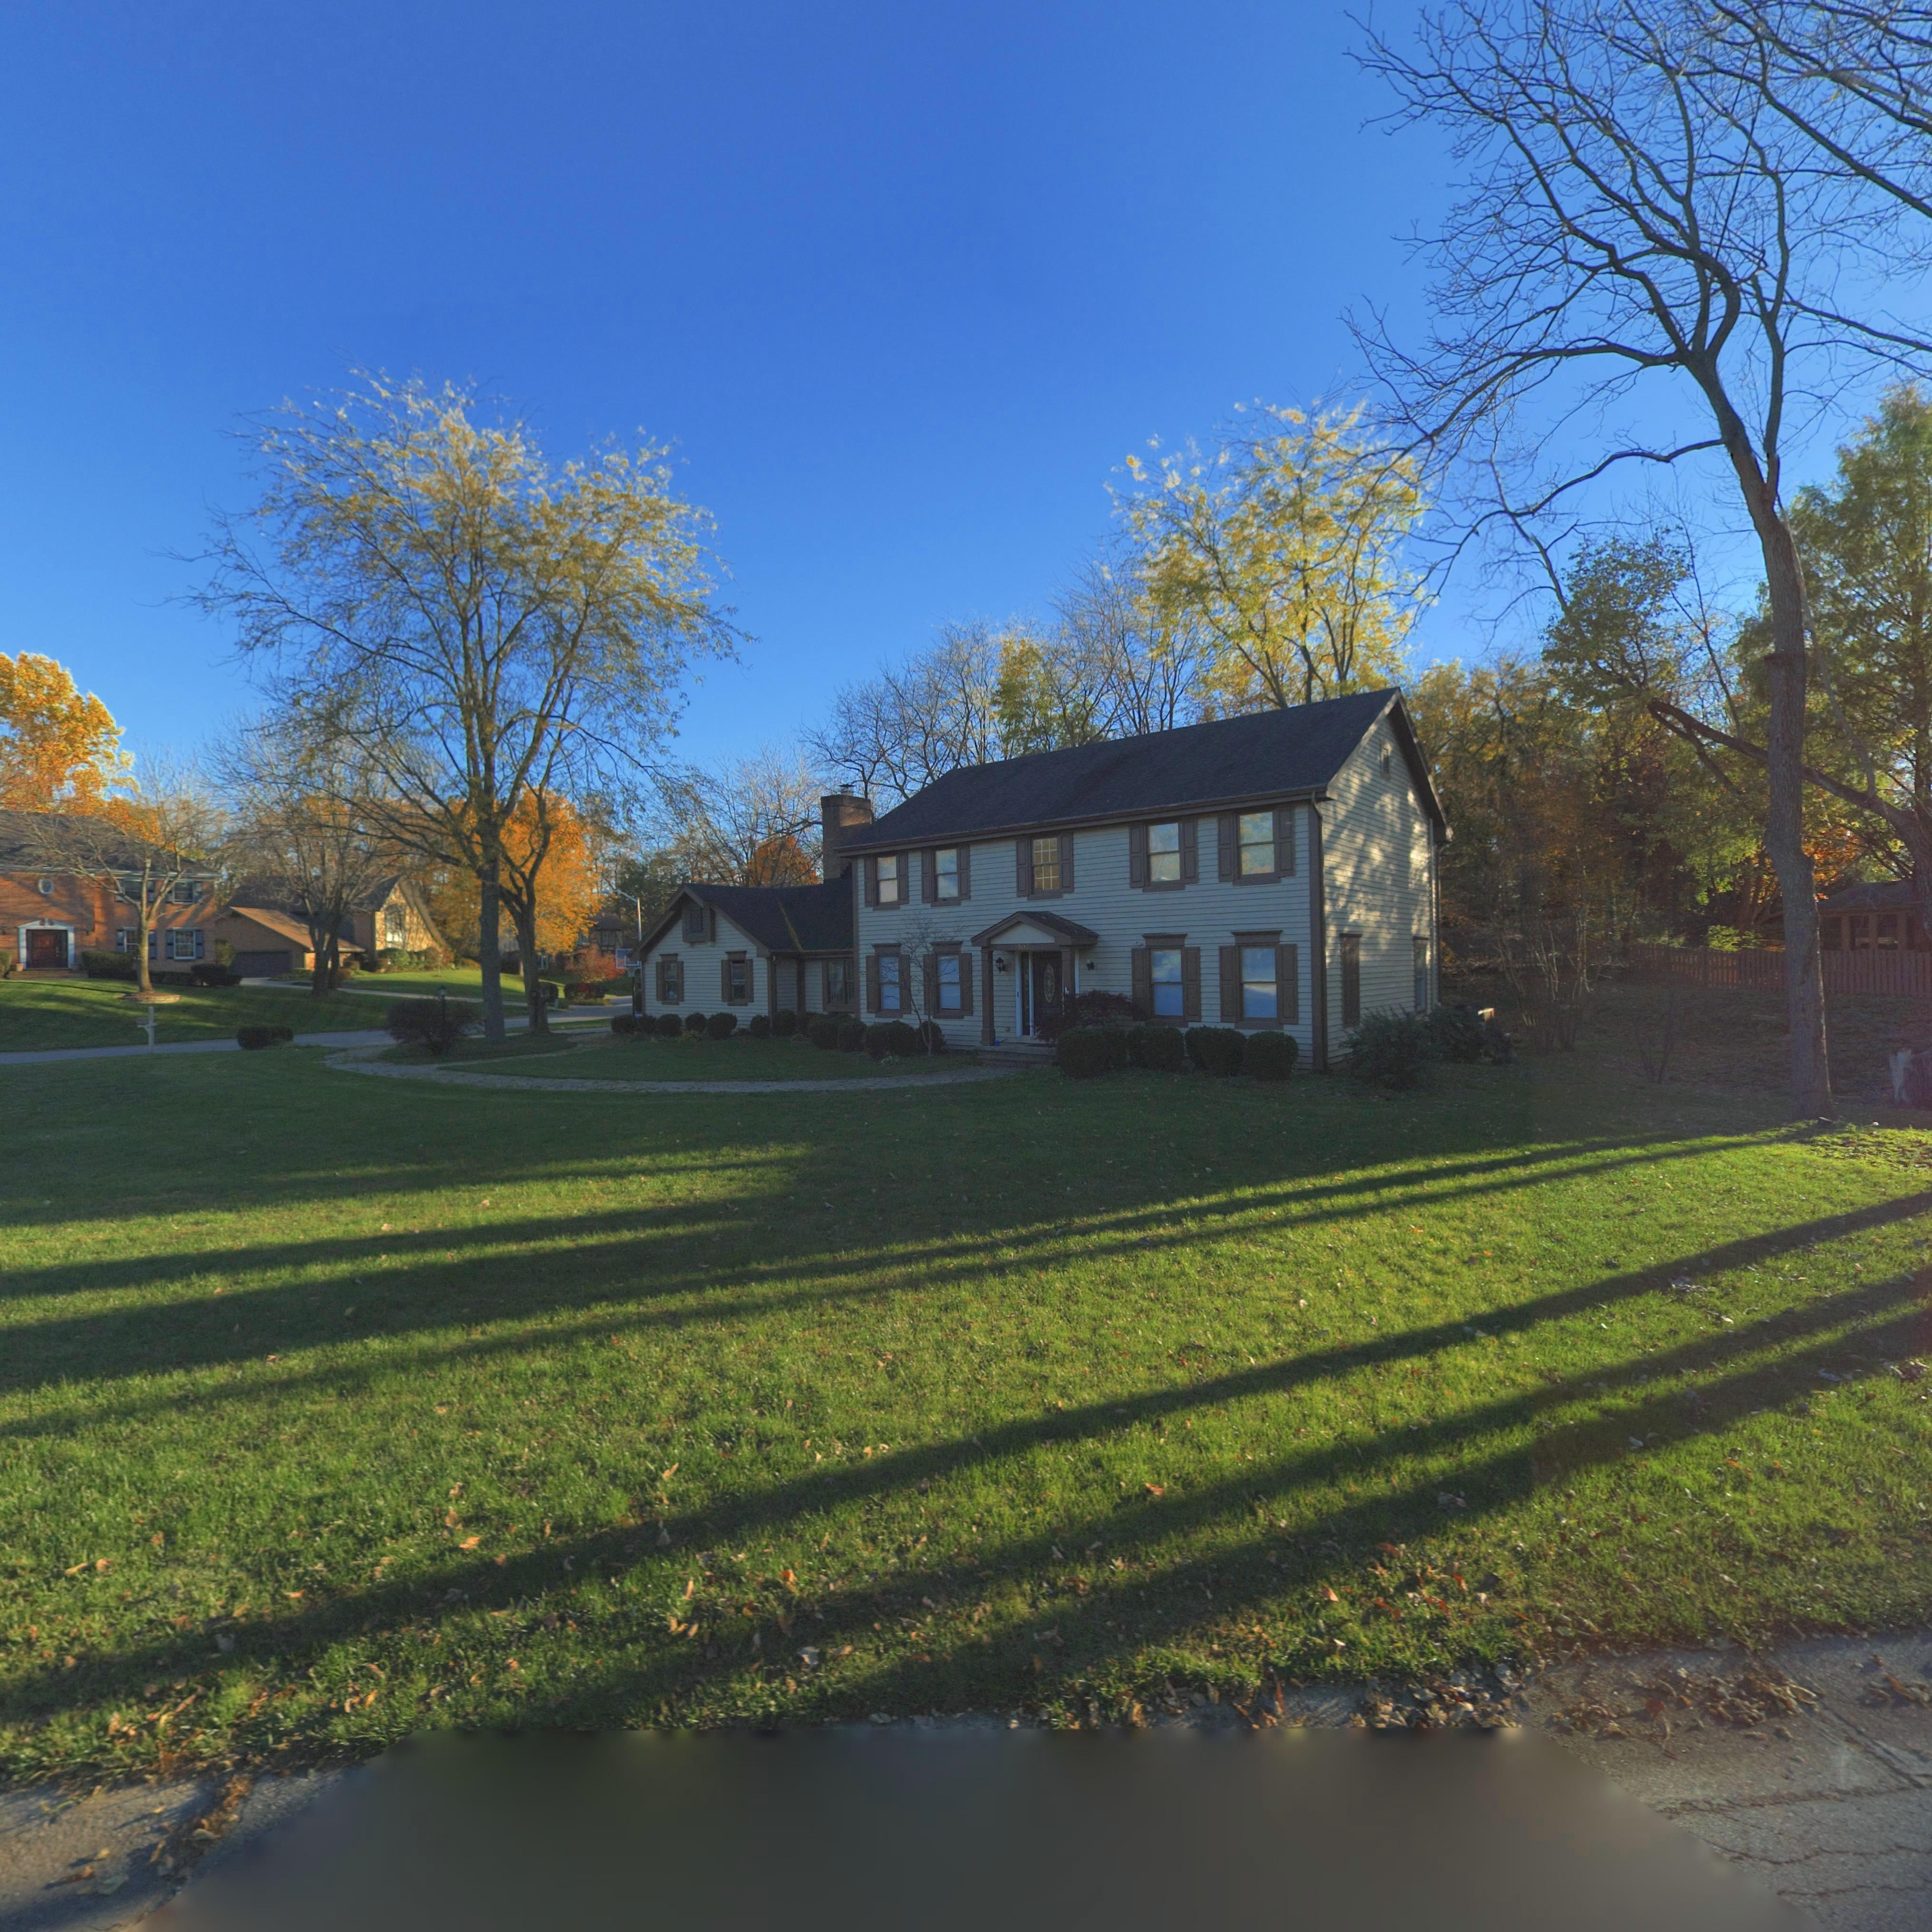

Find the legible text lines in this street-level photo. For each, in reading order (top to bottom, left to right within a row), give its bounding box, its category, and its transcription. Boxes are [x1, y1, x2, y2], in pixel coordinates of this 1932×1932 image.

[1017, 943, 1030, 950] StreetNumber: *0*